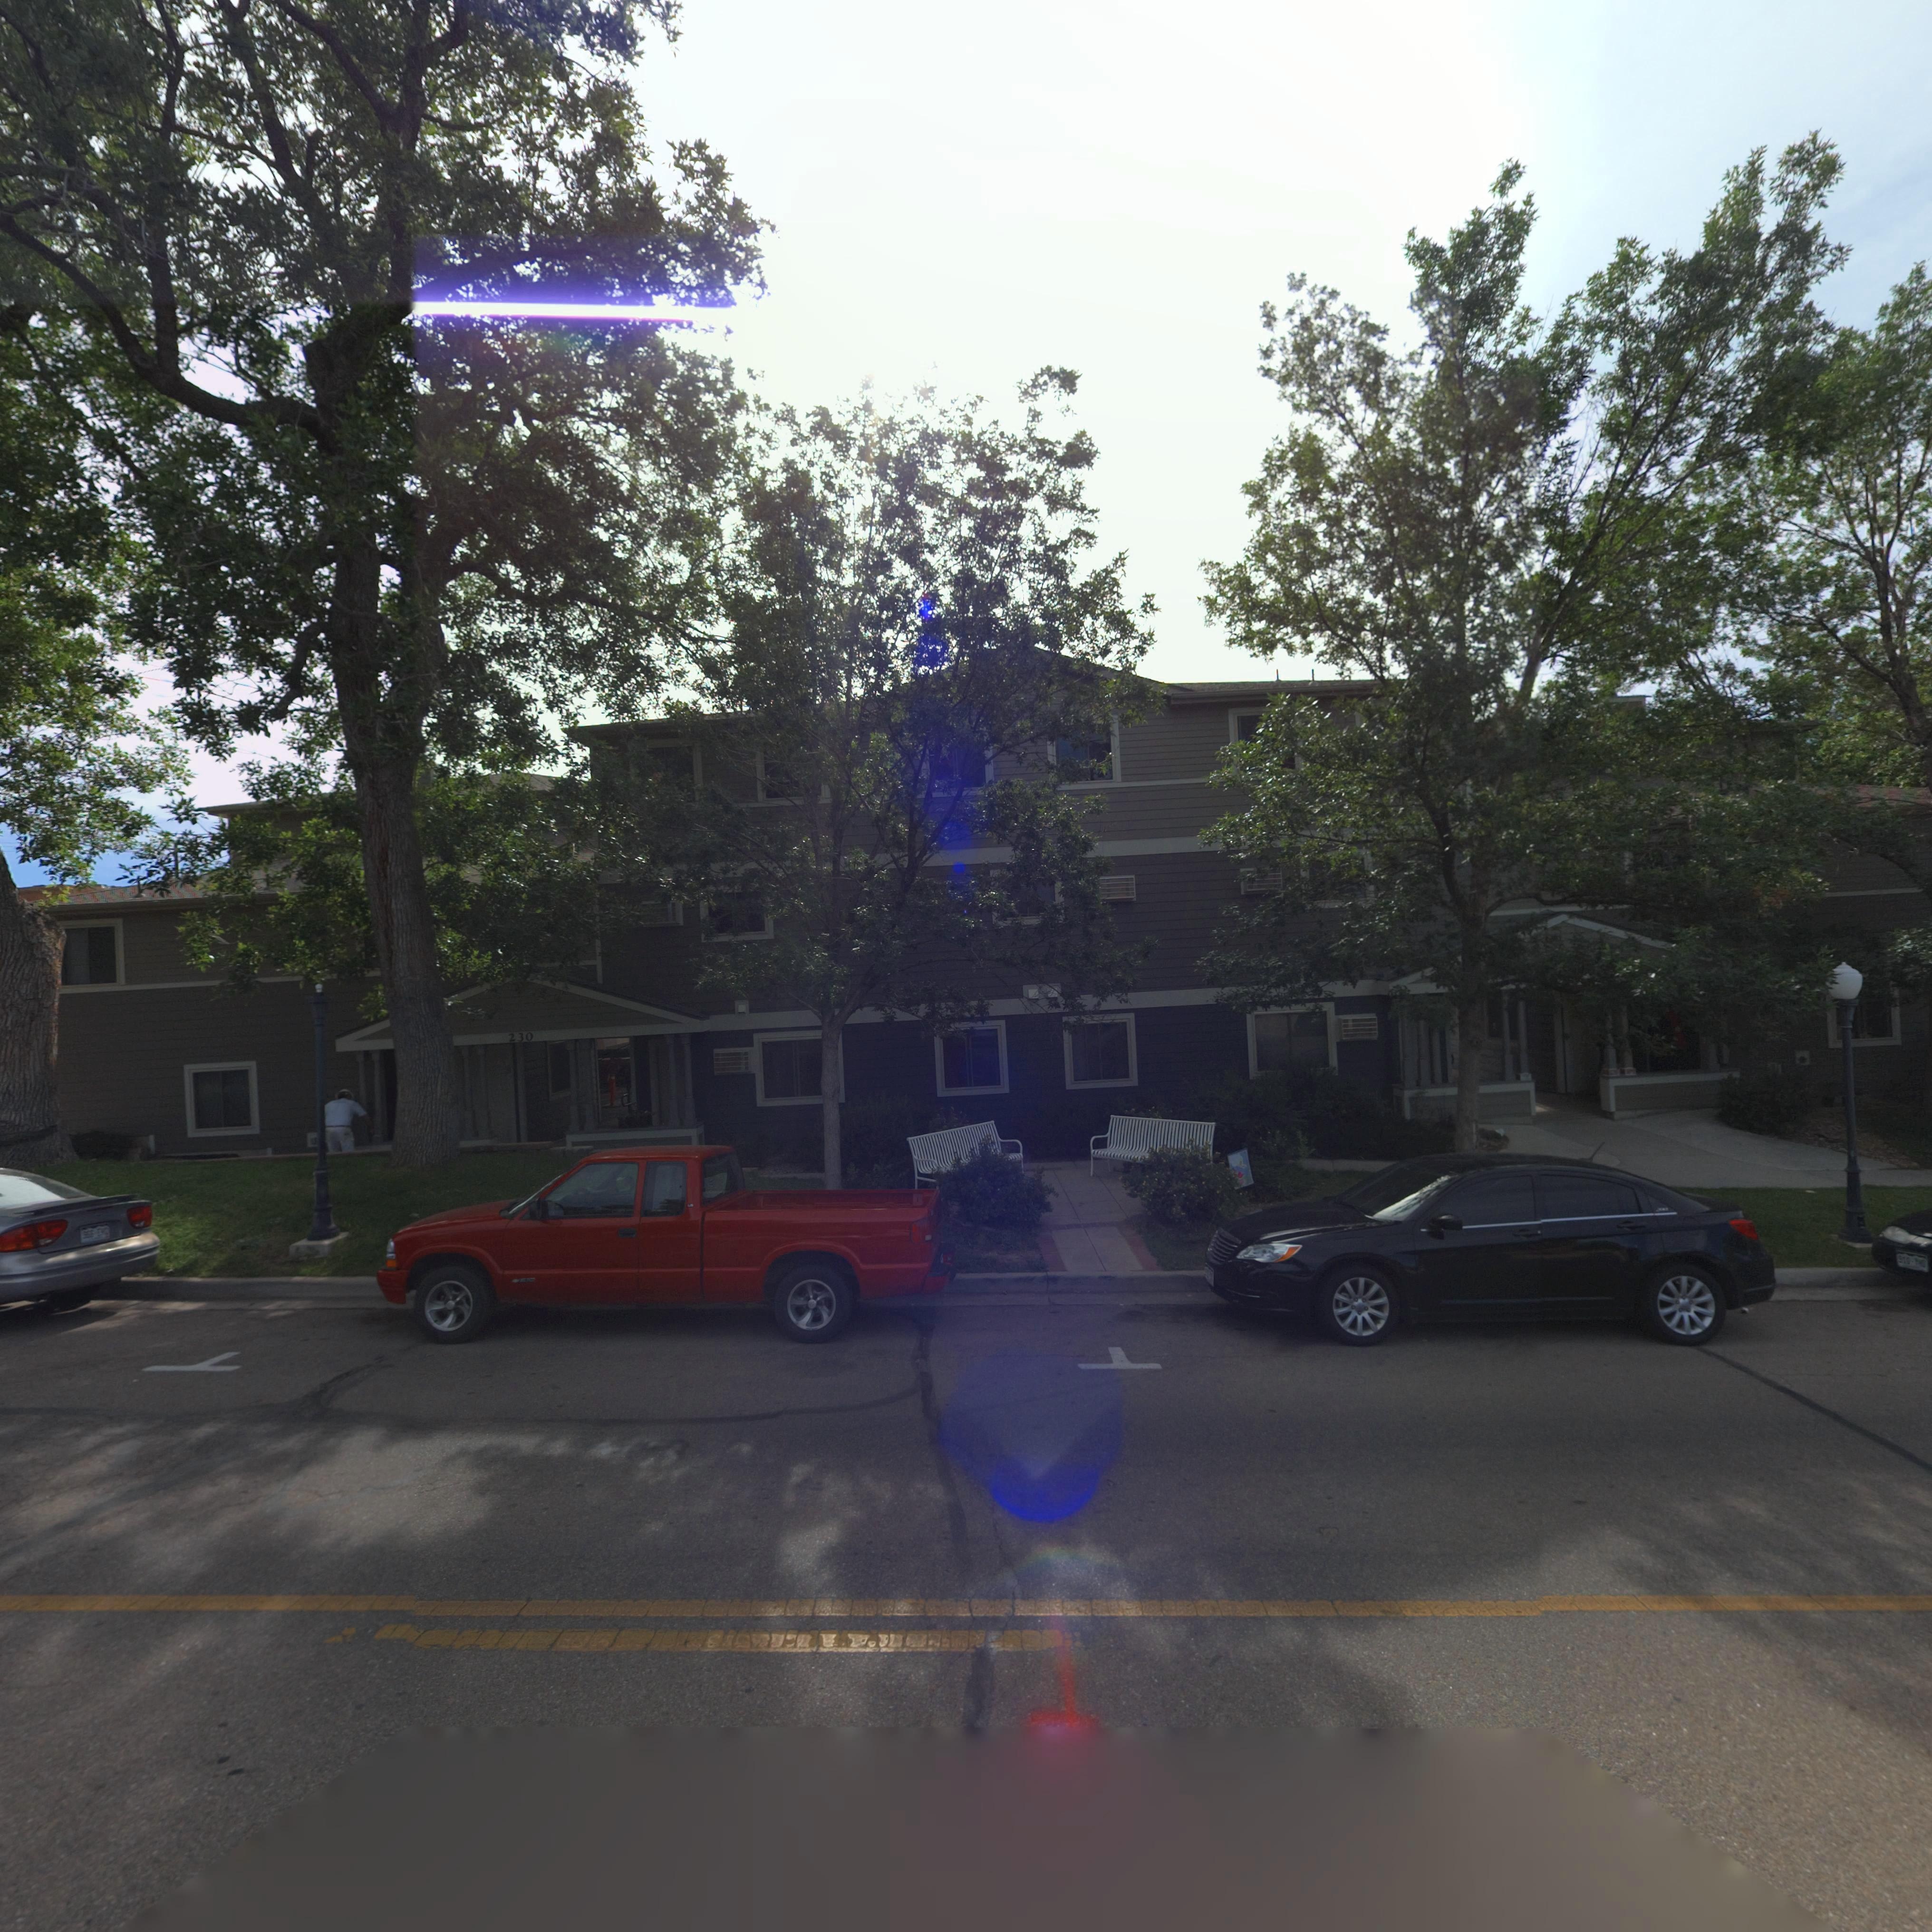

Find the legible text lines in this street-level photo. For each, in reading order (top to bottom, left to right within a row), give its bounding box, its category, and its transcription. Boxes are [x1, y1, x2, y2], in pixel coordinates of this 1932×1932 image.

[507, 1032, 534, 1042] StreetNumber: 230